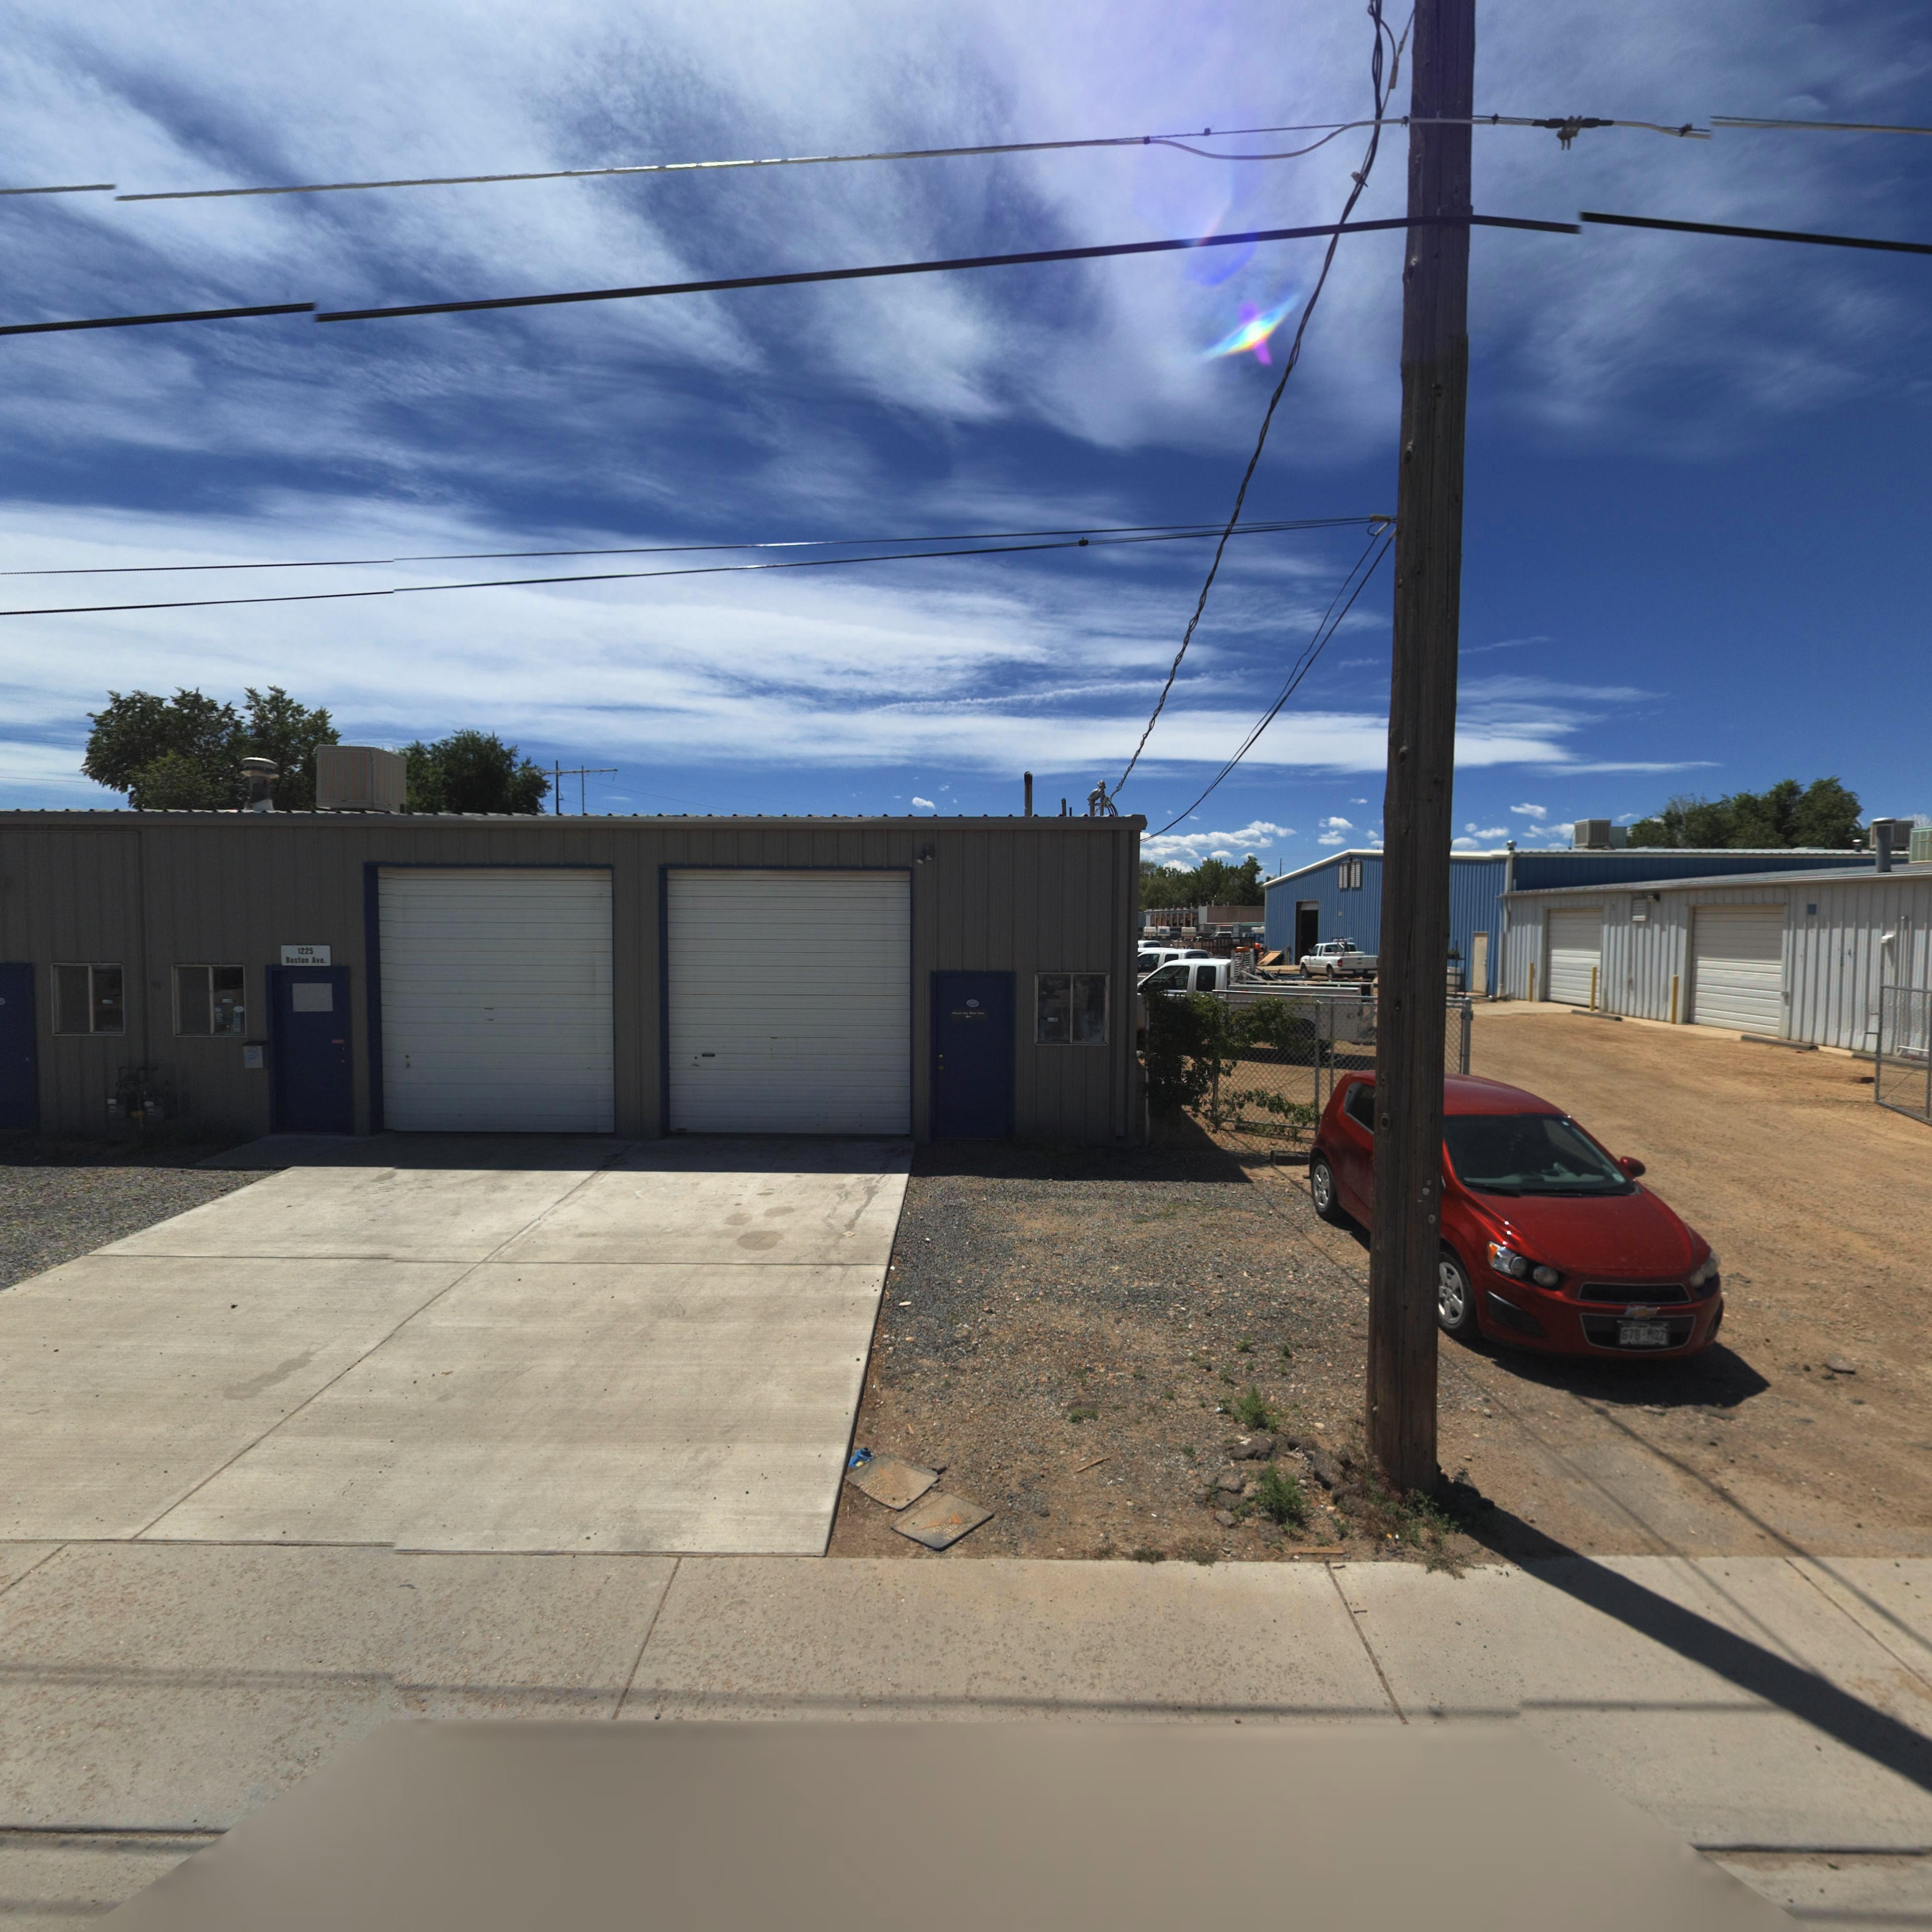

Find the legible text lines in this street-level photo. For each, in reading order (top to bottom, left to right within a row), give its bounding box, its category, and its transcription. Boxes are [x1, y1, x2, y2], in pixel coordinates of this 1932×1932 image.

[296, 947, 314, 955] StreetNumber: 1225
[285, 956, 324, 964] StreetName: Boston Ave